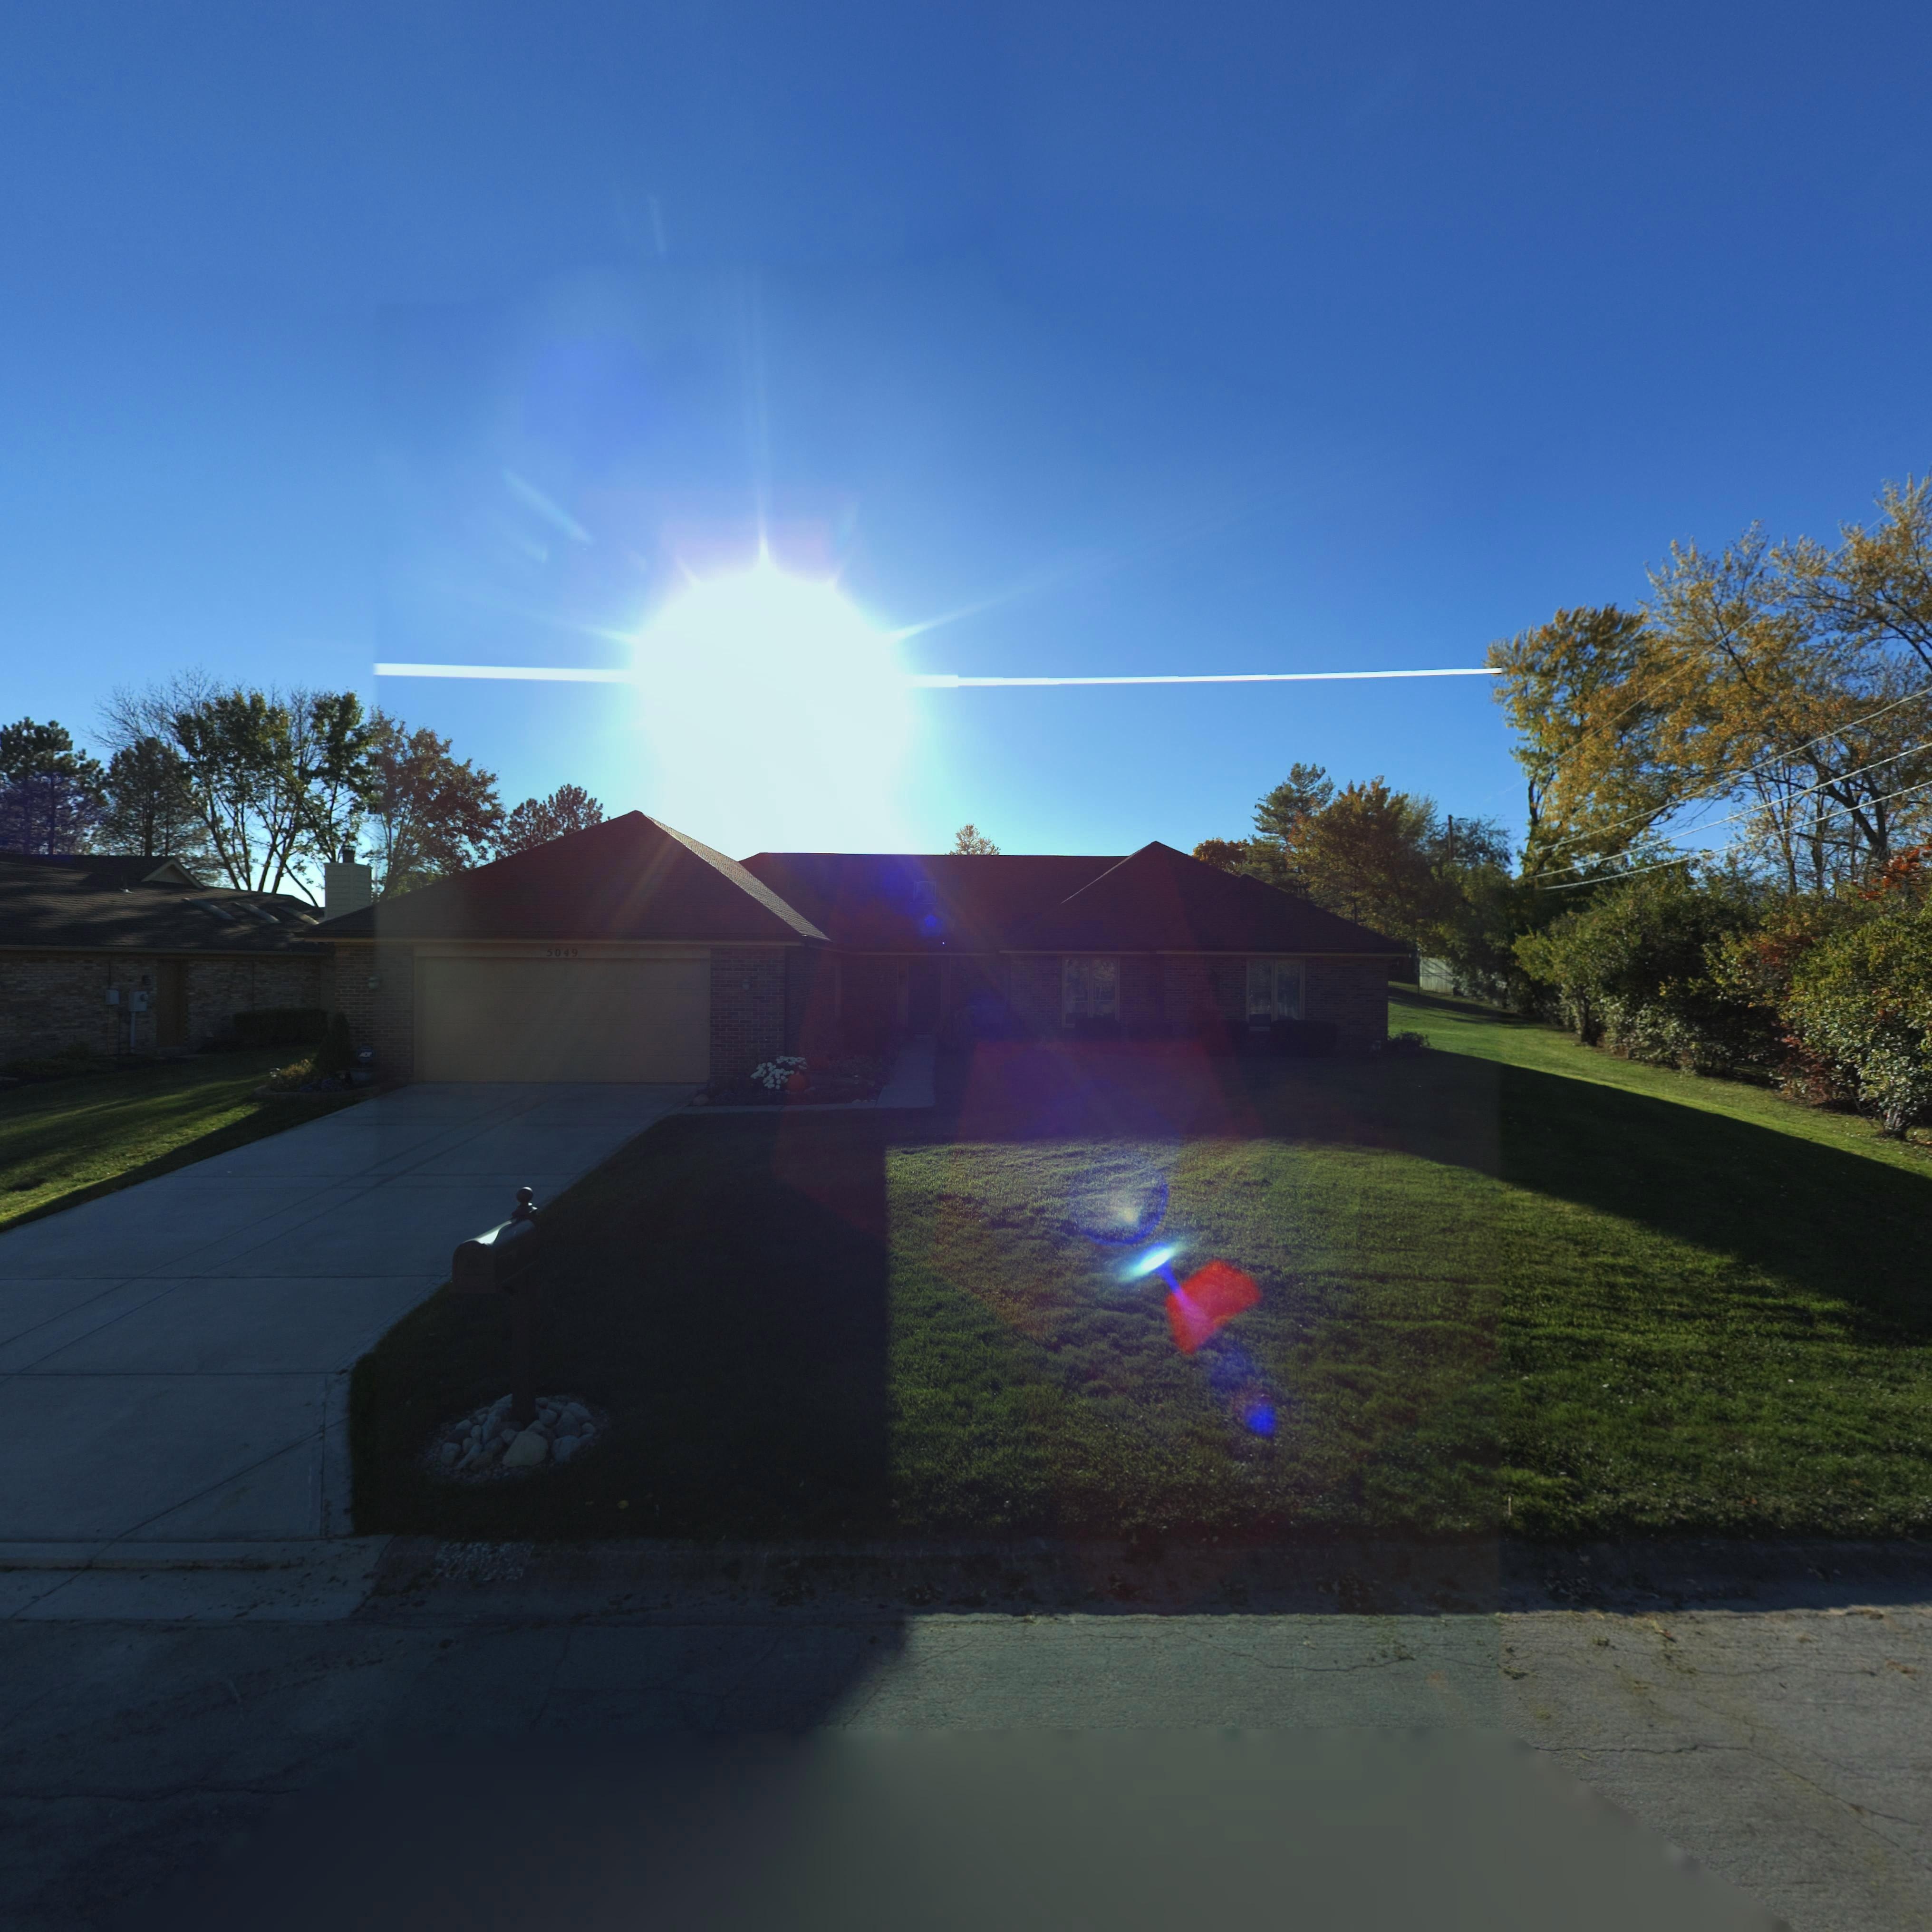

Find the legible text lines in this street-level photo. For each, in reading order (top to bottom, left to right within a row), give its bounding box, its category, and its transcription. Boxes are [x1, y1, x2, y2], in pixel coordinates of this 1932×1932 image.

[546, 947, 580, 958] StreetNumber: 5049